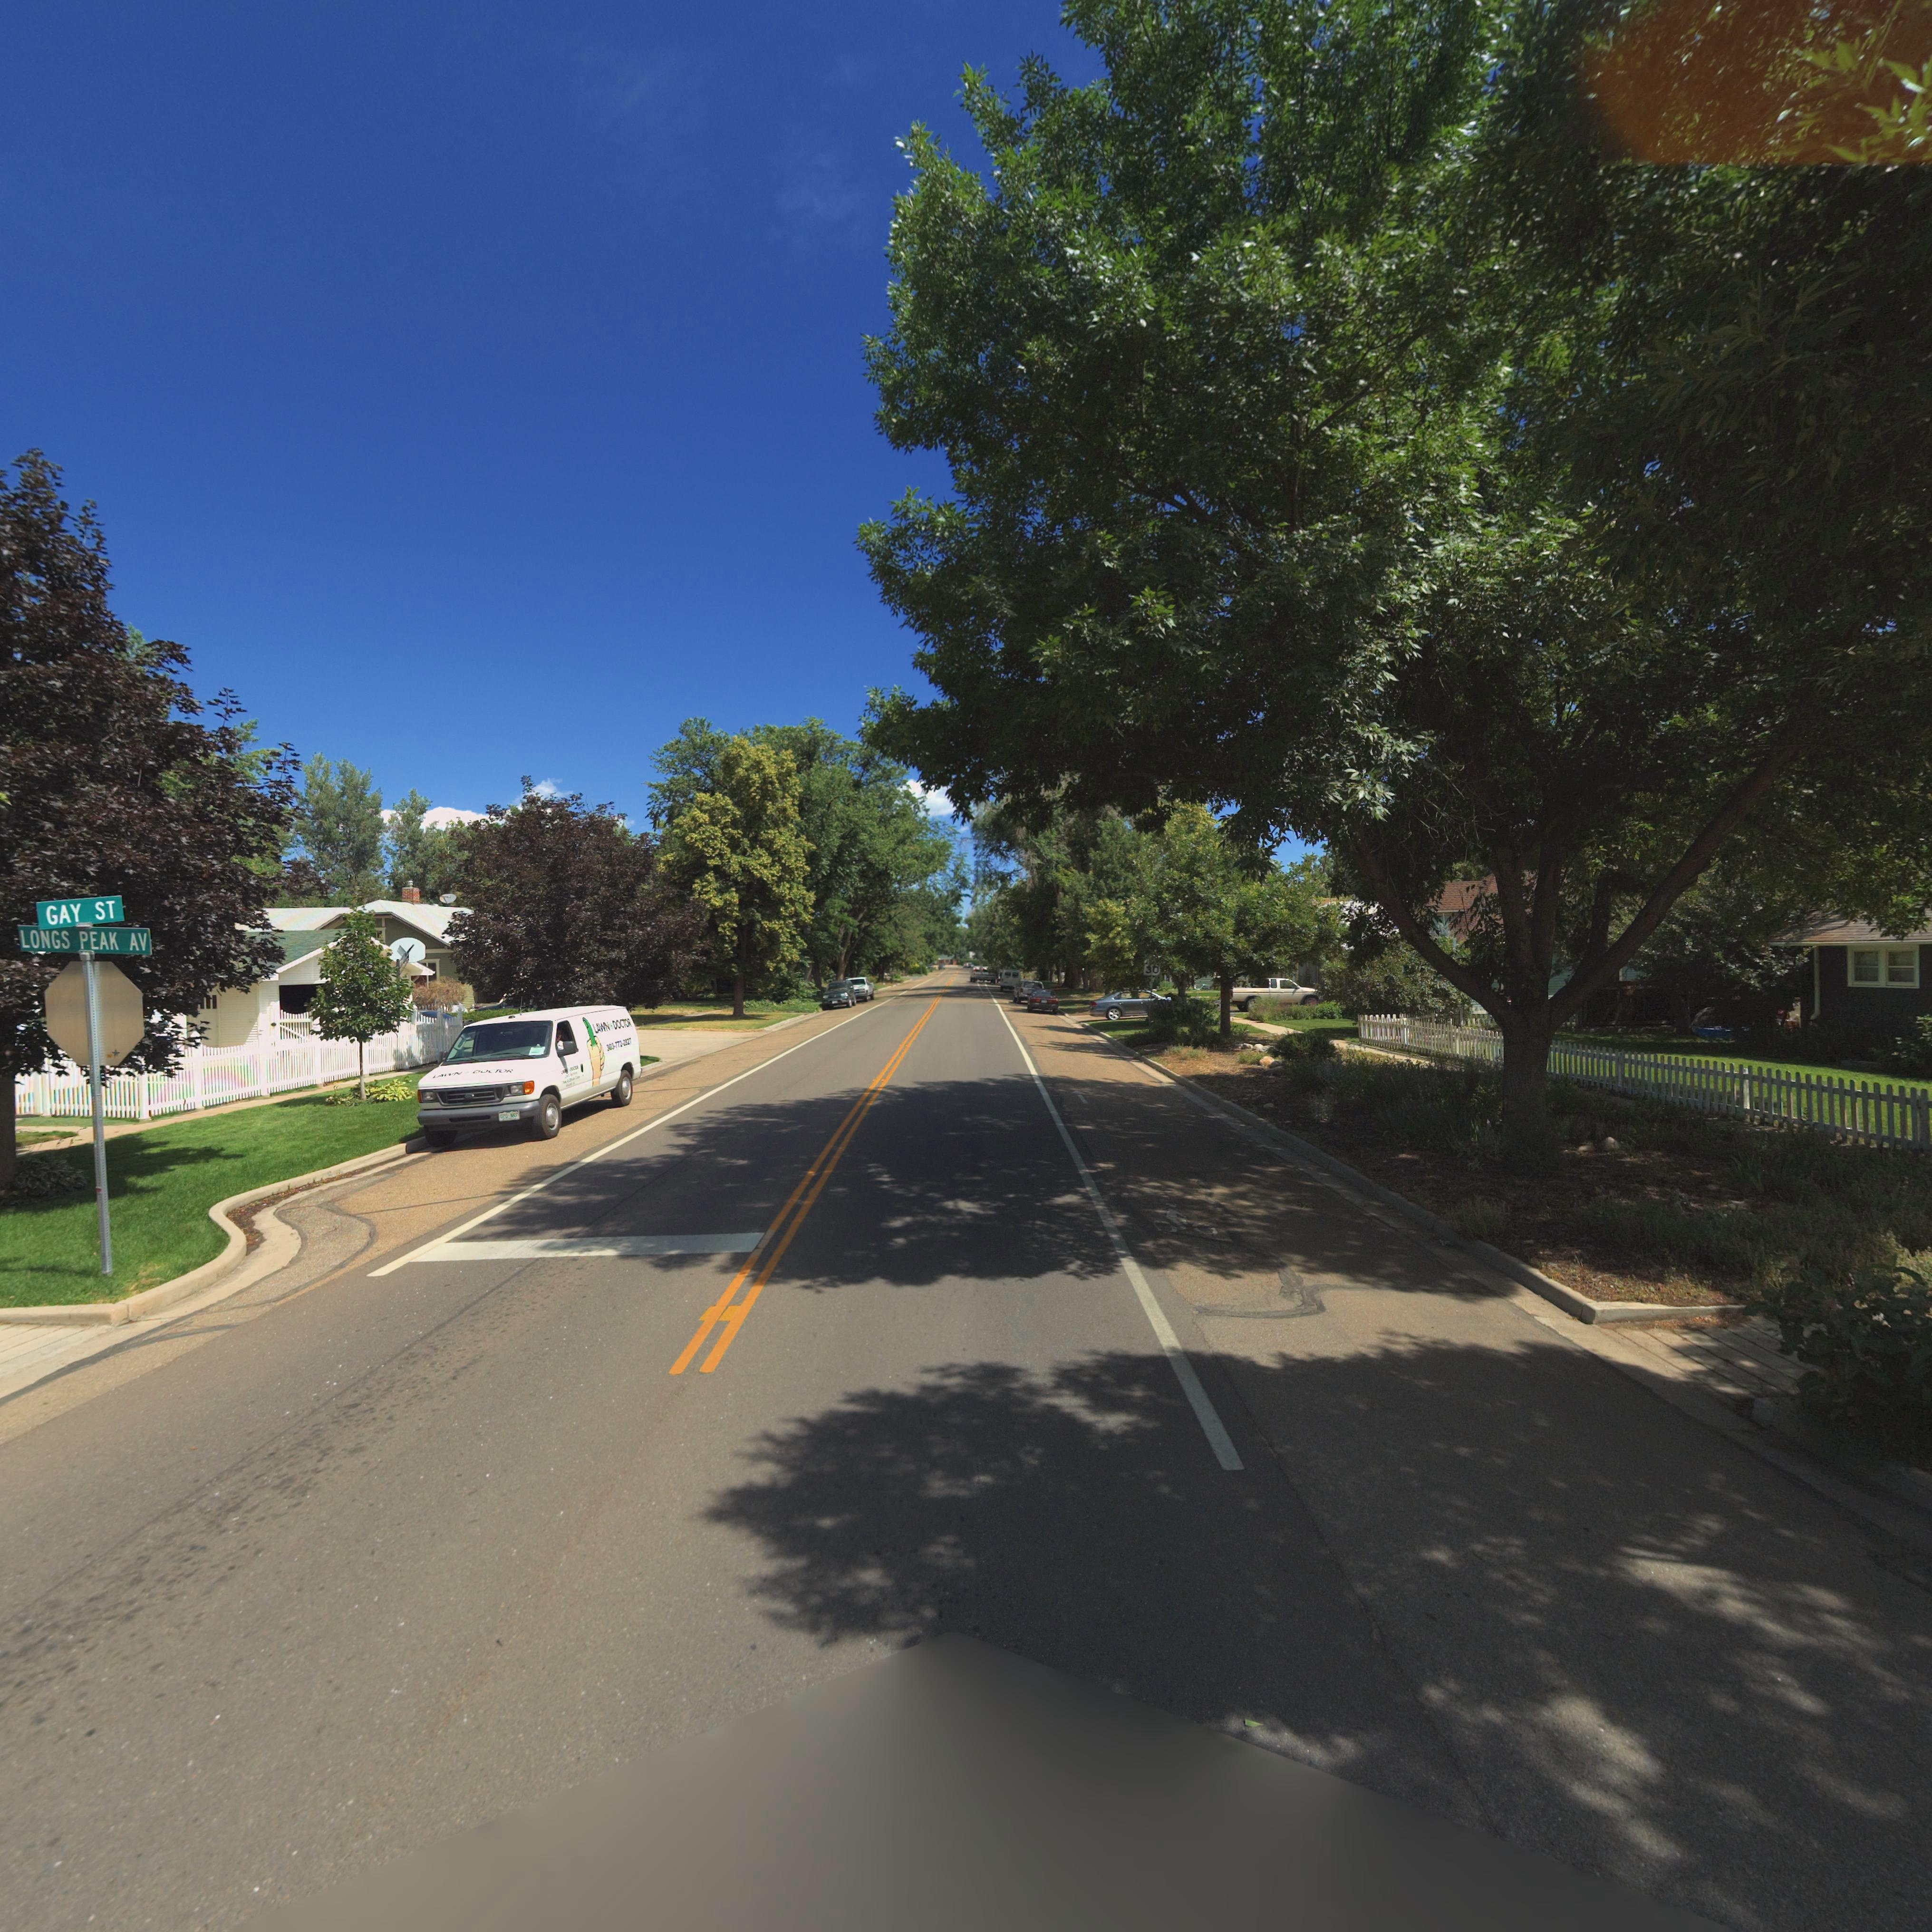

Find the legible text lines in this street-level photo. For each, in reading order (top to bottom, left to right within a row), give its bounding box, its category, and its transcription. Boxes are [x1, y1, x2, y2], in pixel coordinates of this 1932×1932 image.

[45, 898, 116, 927] StreetName: GAY ST
[18, 928, 149, 952] StreetName: LONGS PEAK AV